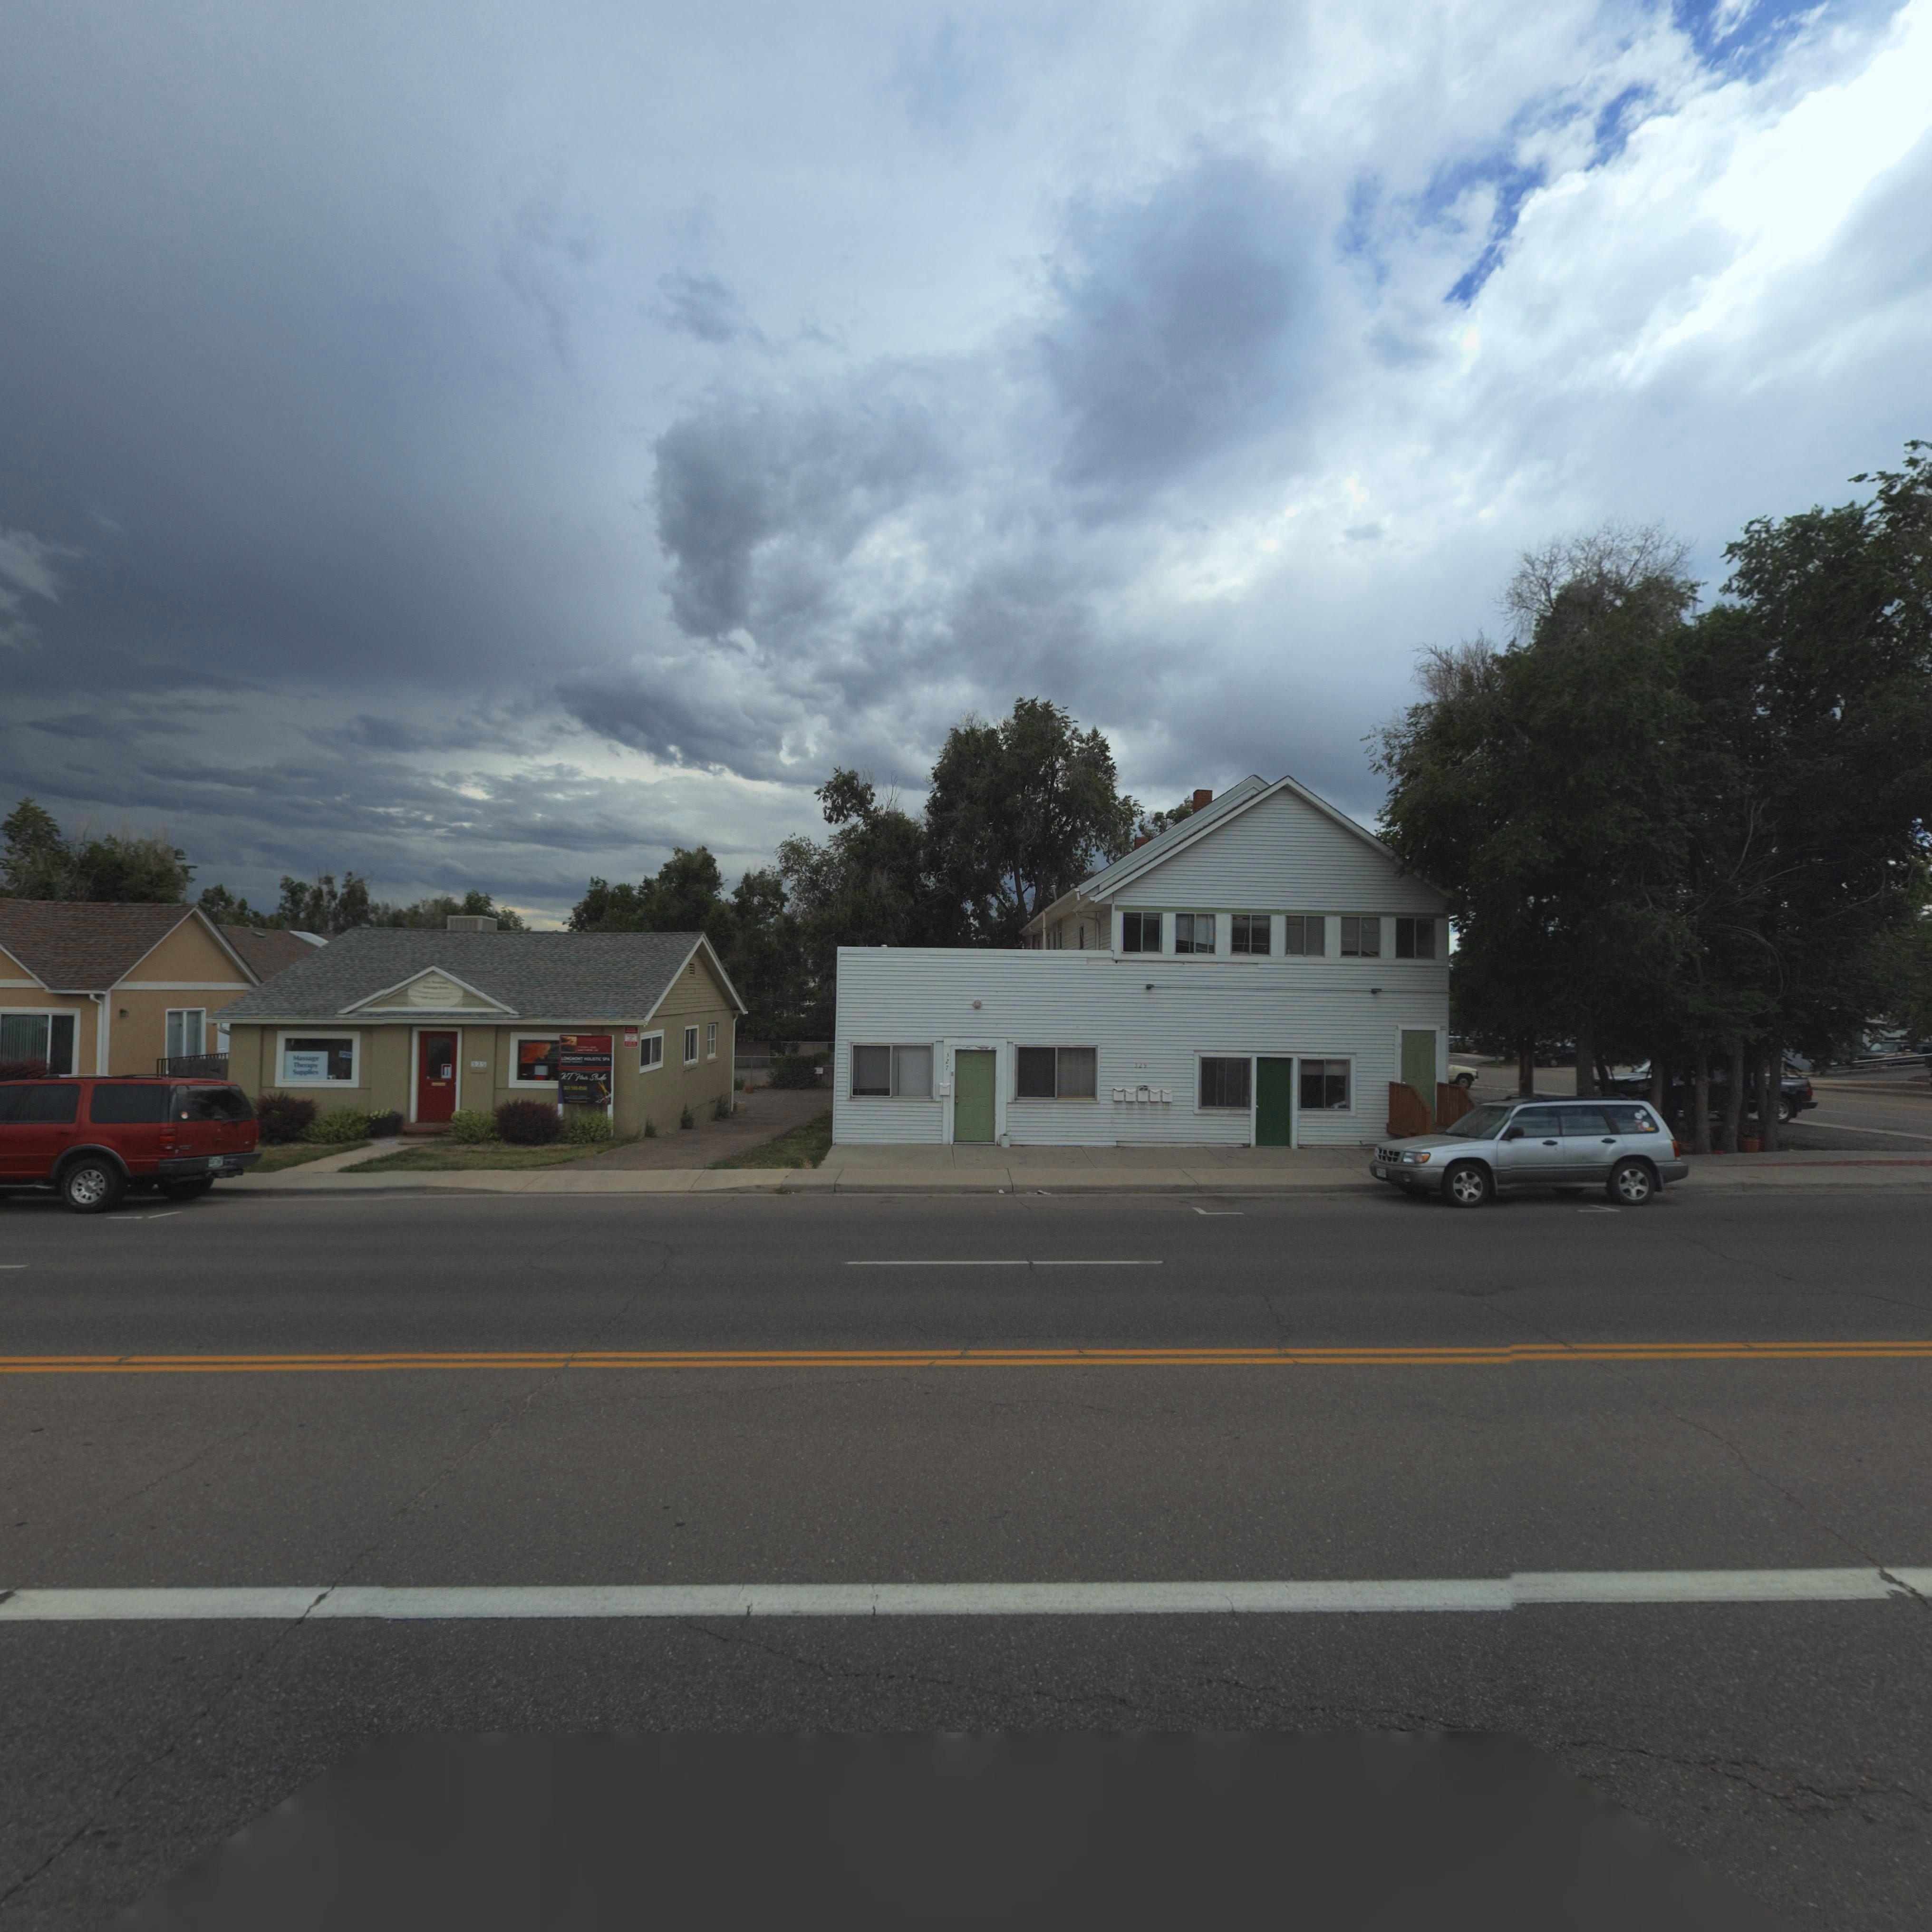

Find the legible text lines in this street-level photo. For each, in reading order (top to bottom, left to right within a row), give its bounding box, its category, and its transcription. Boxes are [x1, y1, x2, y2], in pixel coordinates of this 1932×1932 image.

[472, 1061, 485, 1067] StreetNumber: 325
[561, 1056, 610, 1061] BusinessName: LONGMONT HOLISTIC SPA
[945, 1052, 949, 1070] StreetNumber: 327
[1134, 1062, 1147, 1068] StreetNumber: 329
[561, 1072, 607, 1081] BusinessName: KT Hair Studio